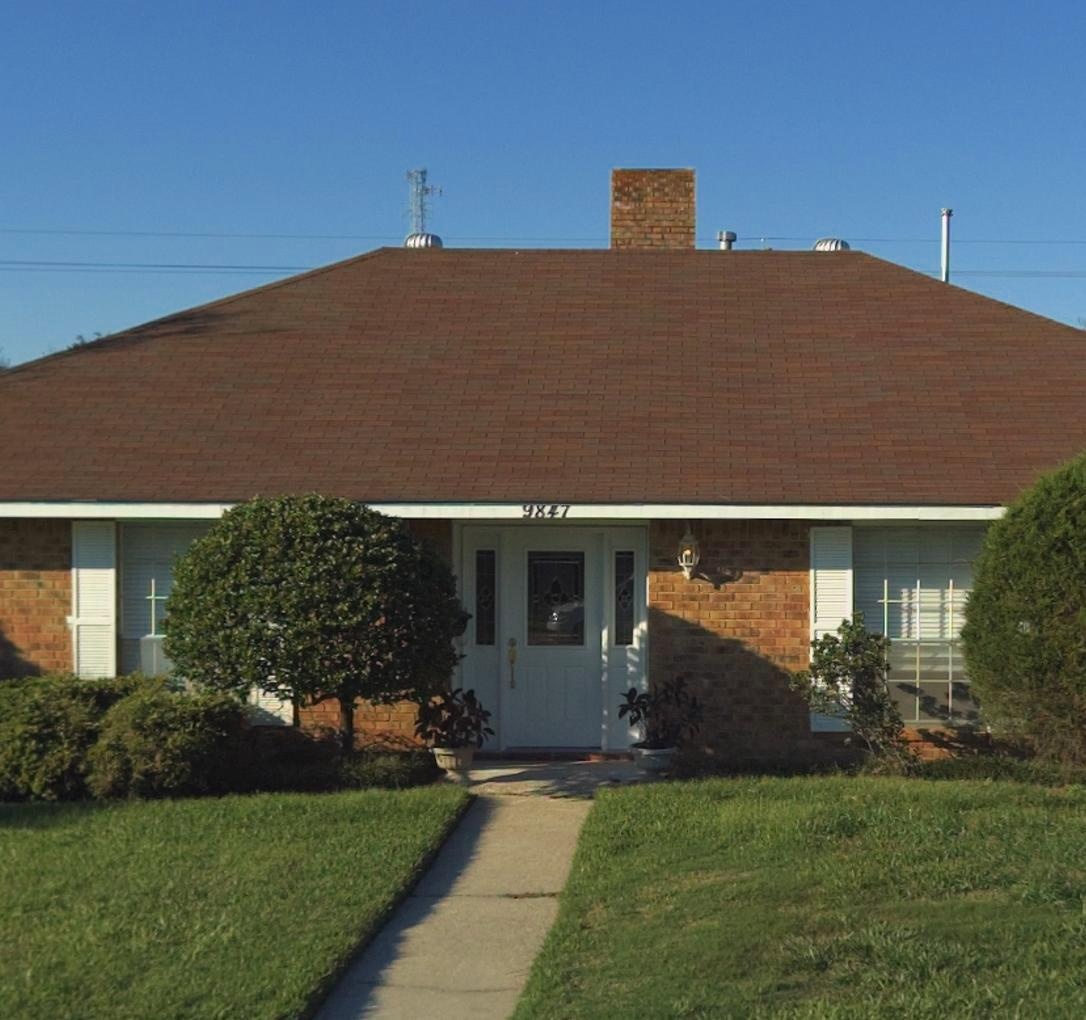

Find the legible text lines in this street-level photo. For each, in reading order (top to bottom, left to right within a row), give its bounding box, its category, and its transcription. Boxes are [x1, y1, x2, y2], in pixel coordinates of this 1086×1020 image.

[521, 504, 572, 519] StreetNumber: 9847